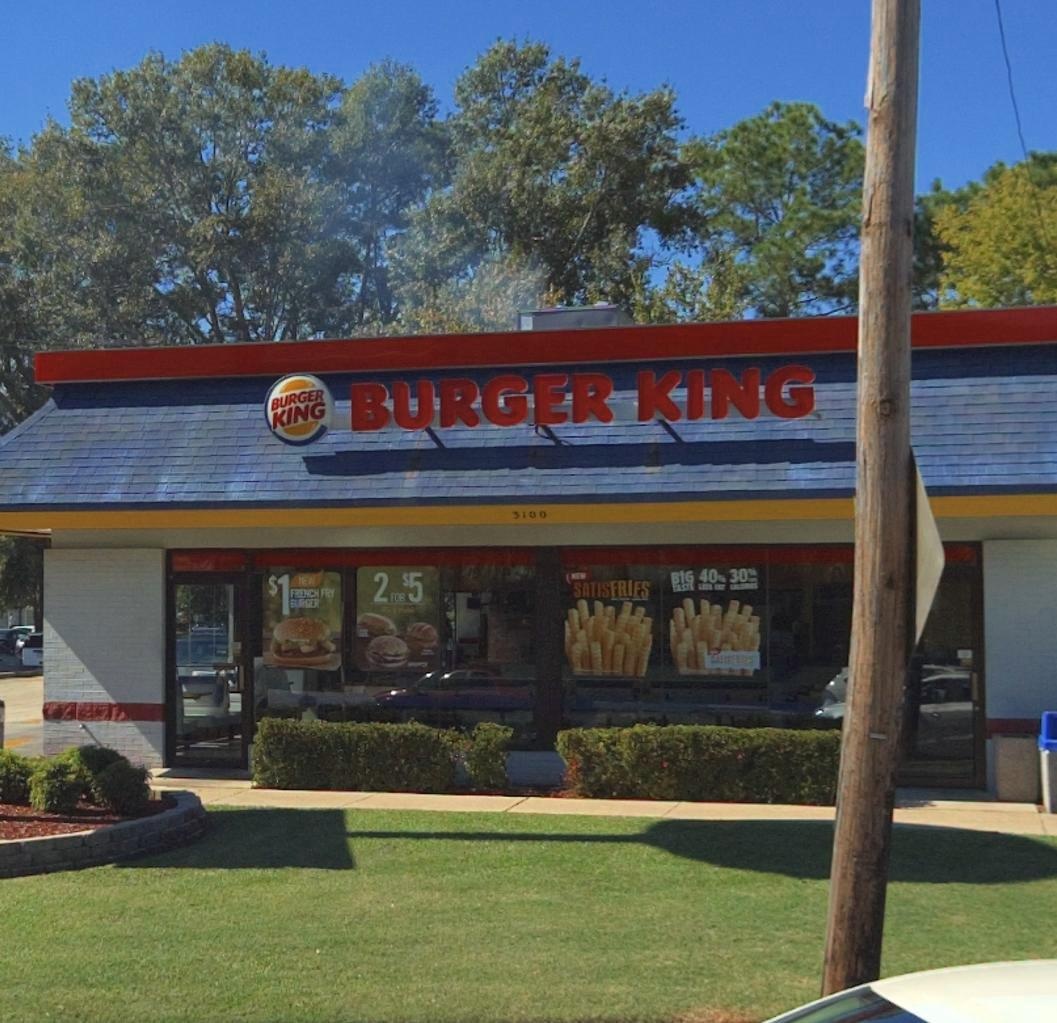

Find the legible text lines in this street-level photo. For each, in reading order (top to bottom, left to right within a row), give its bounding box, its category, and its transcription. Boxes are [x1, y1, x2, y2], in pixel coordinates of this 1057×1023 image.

[270, 389, 325, 412] BusinessName: BURGER
[348, 364, 817, 432] BusinessName: BURGER KING
[271, 402, 326, 432] BusinessName: KING
[511, 510, 548, 520] StreetNumber: 3100
[277, 573, 290, 616] None: 1
[289, 598, 320, 609] None: BURGER
[290, 588, 336, 599] None: FRENCH FRY
[372, 571, 389, 603] None: 2
[407, 571, 423, 603] None: 5
[573, 579, 650, 601] None: SATISFRIES
[670, 570, 695, 585] None: BIG
[698, 568, 718, 583] None: 40
[728, 568, 749, 584] None: 30